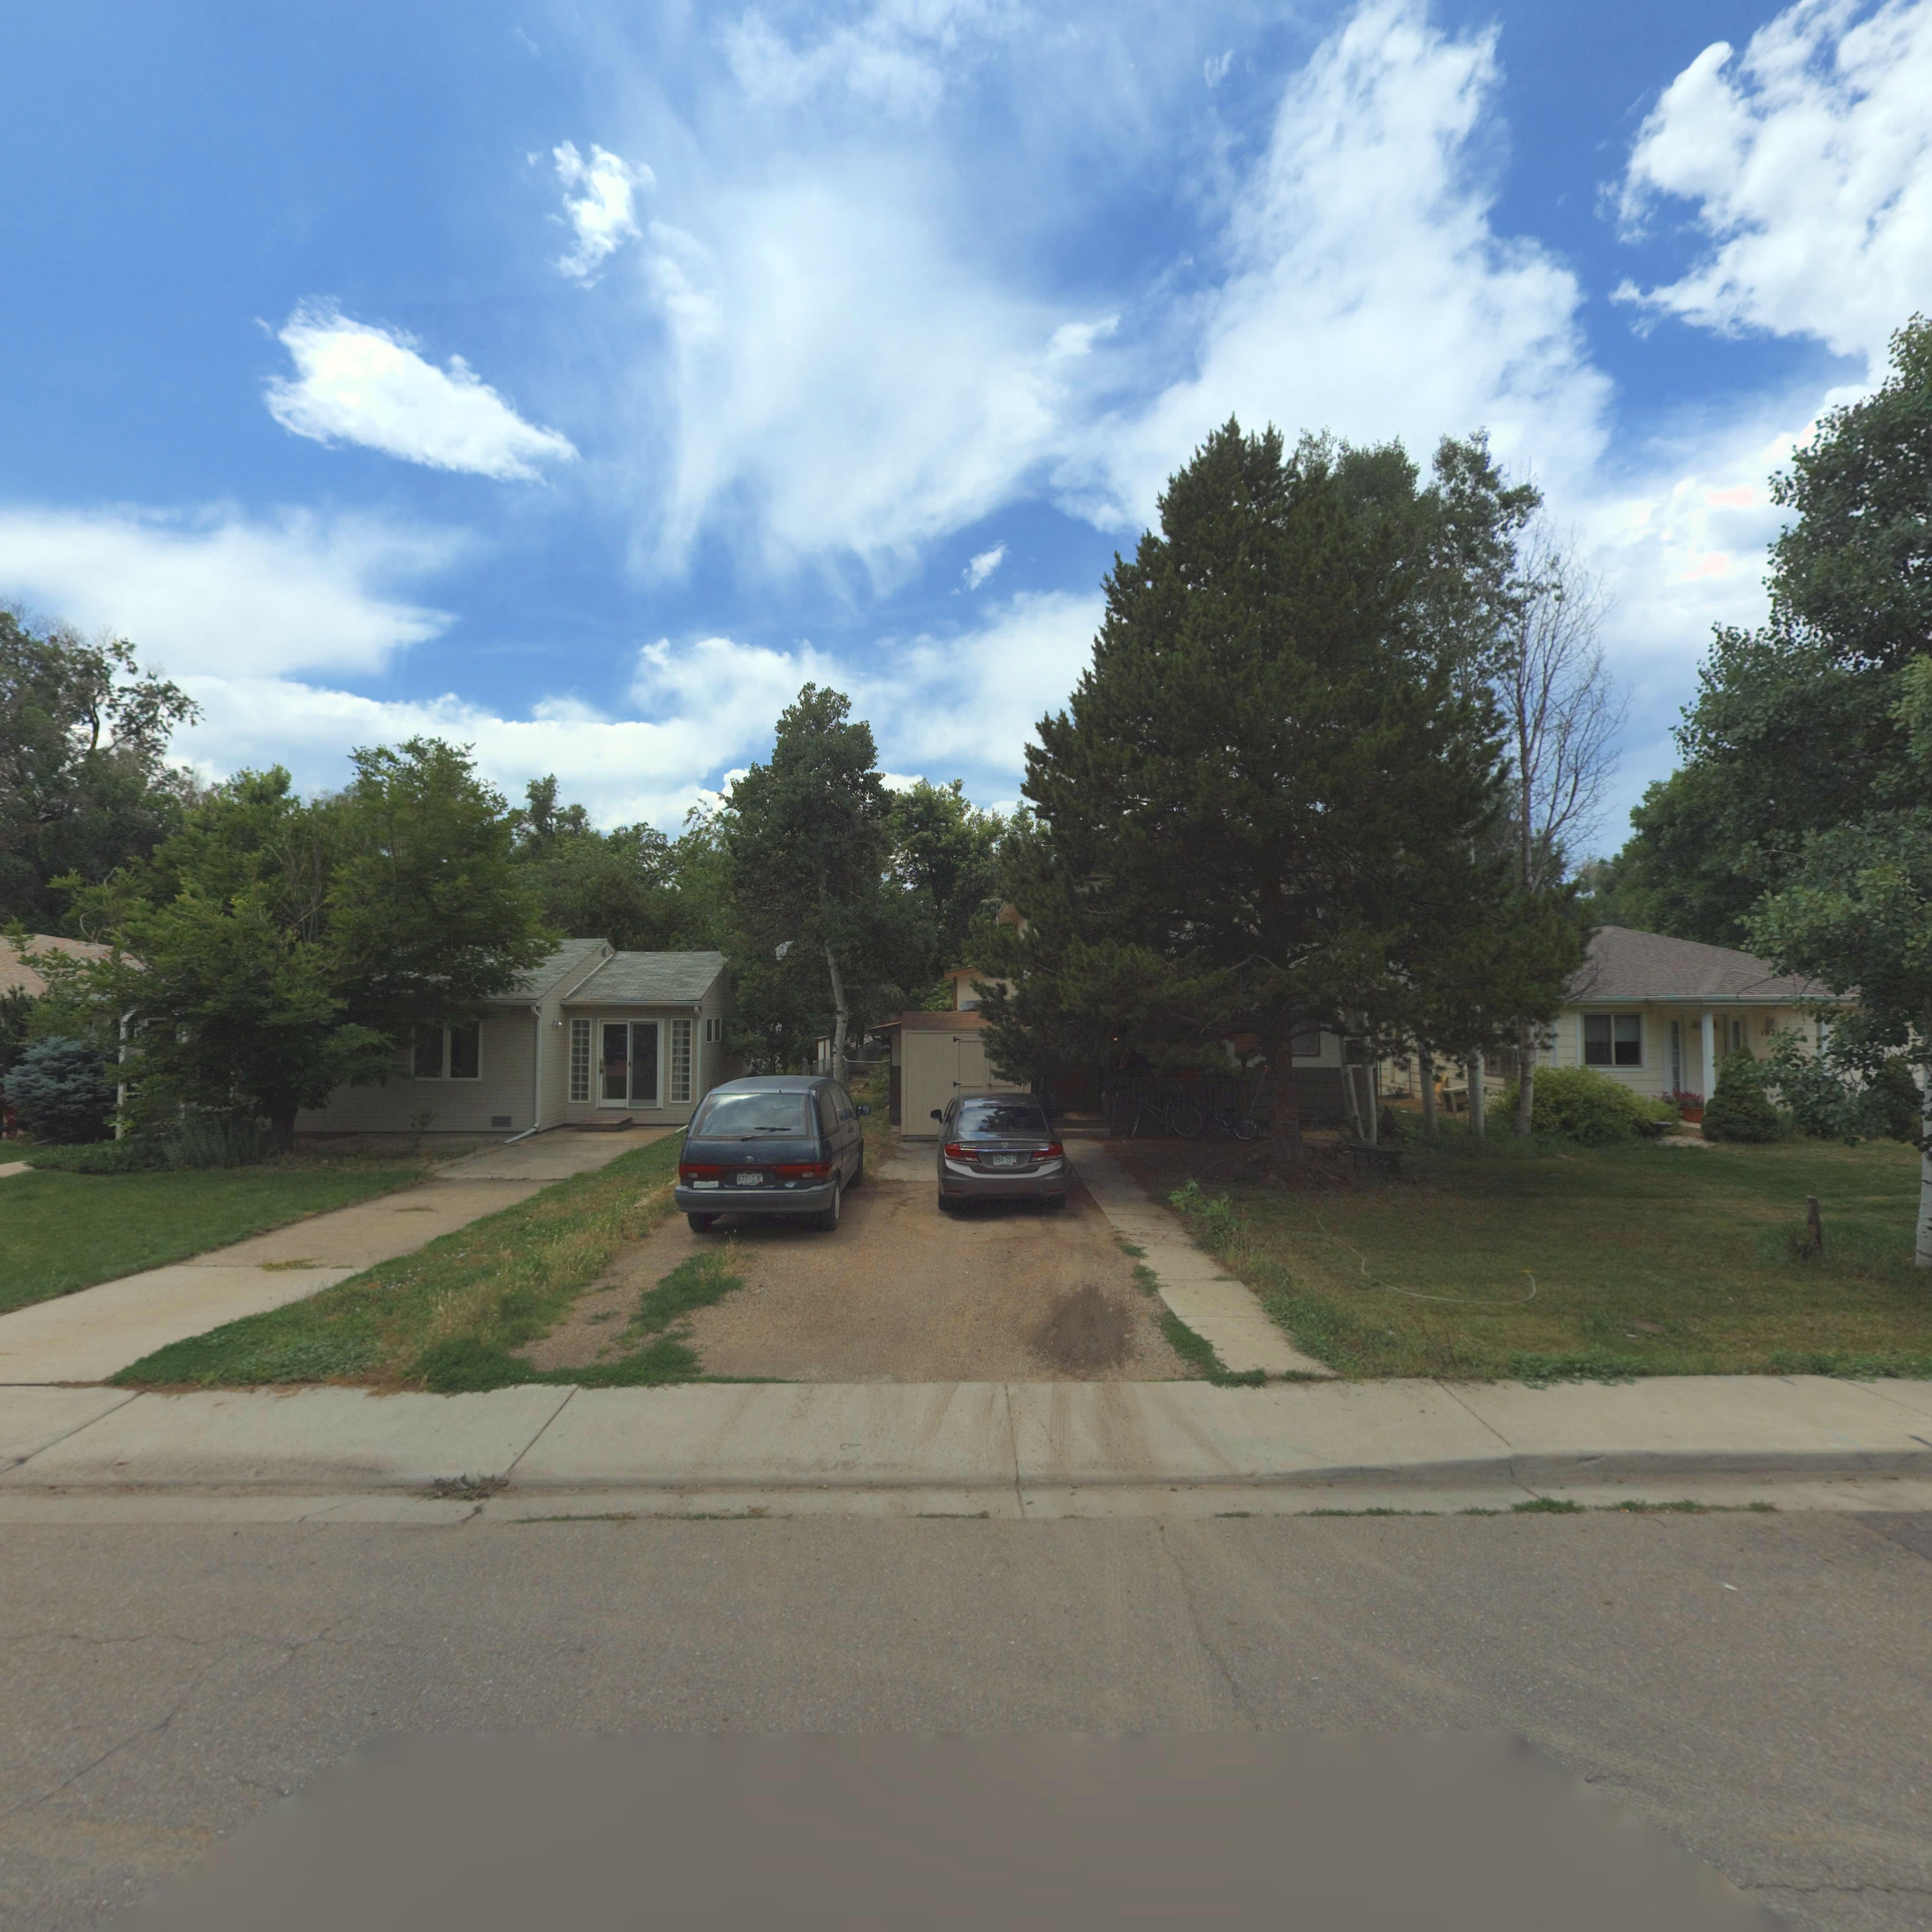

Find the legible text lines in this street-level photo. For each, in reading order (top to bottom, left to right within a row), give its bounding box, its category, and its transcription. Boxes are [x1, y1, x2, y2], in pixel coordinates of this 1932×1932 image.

[1761, 1028, 1780, 1036] StreetNumber: 1021